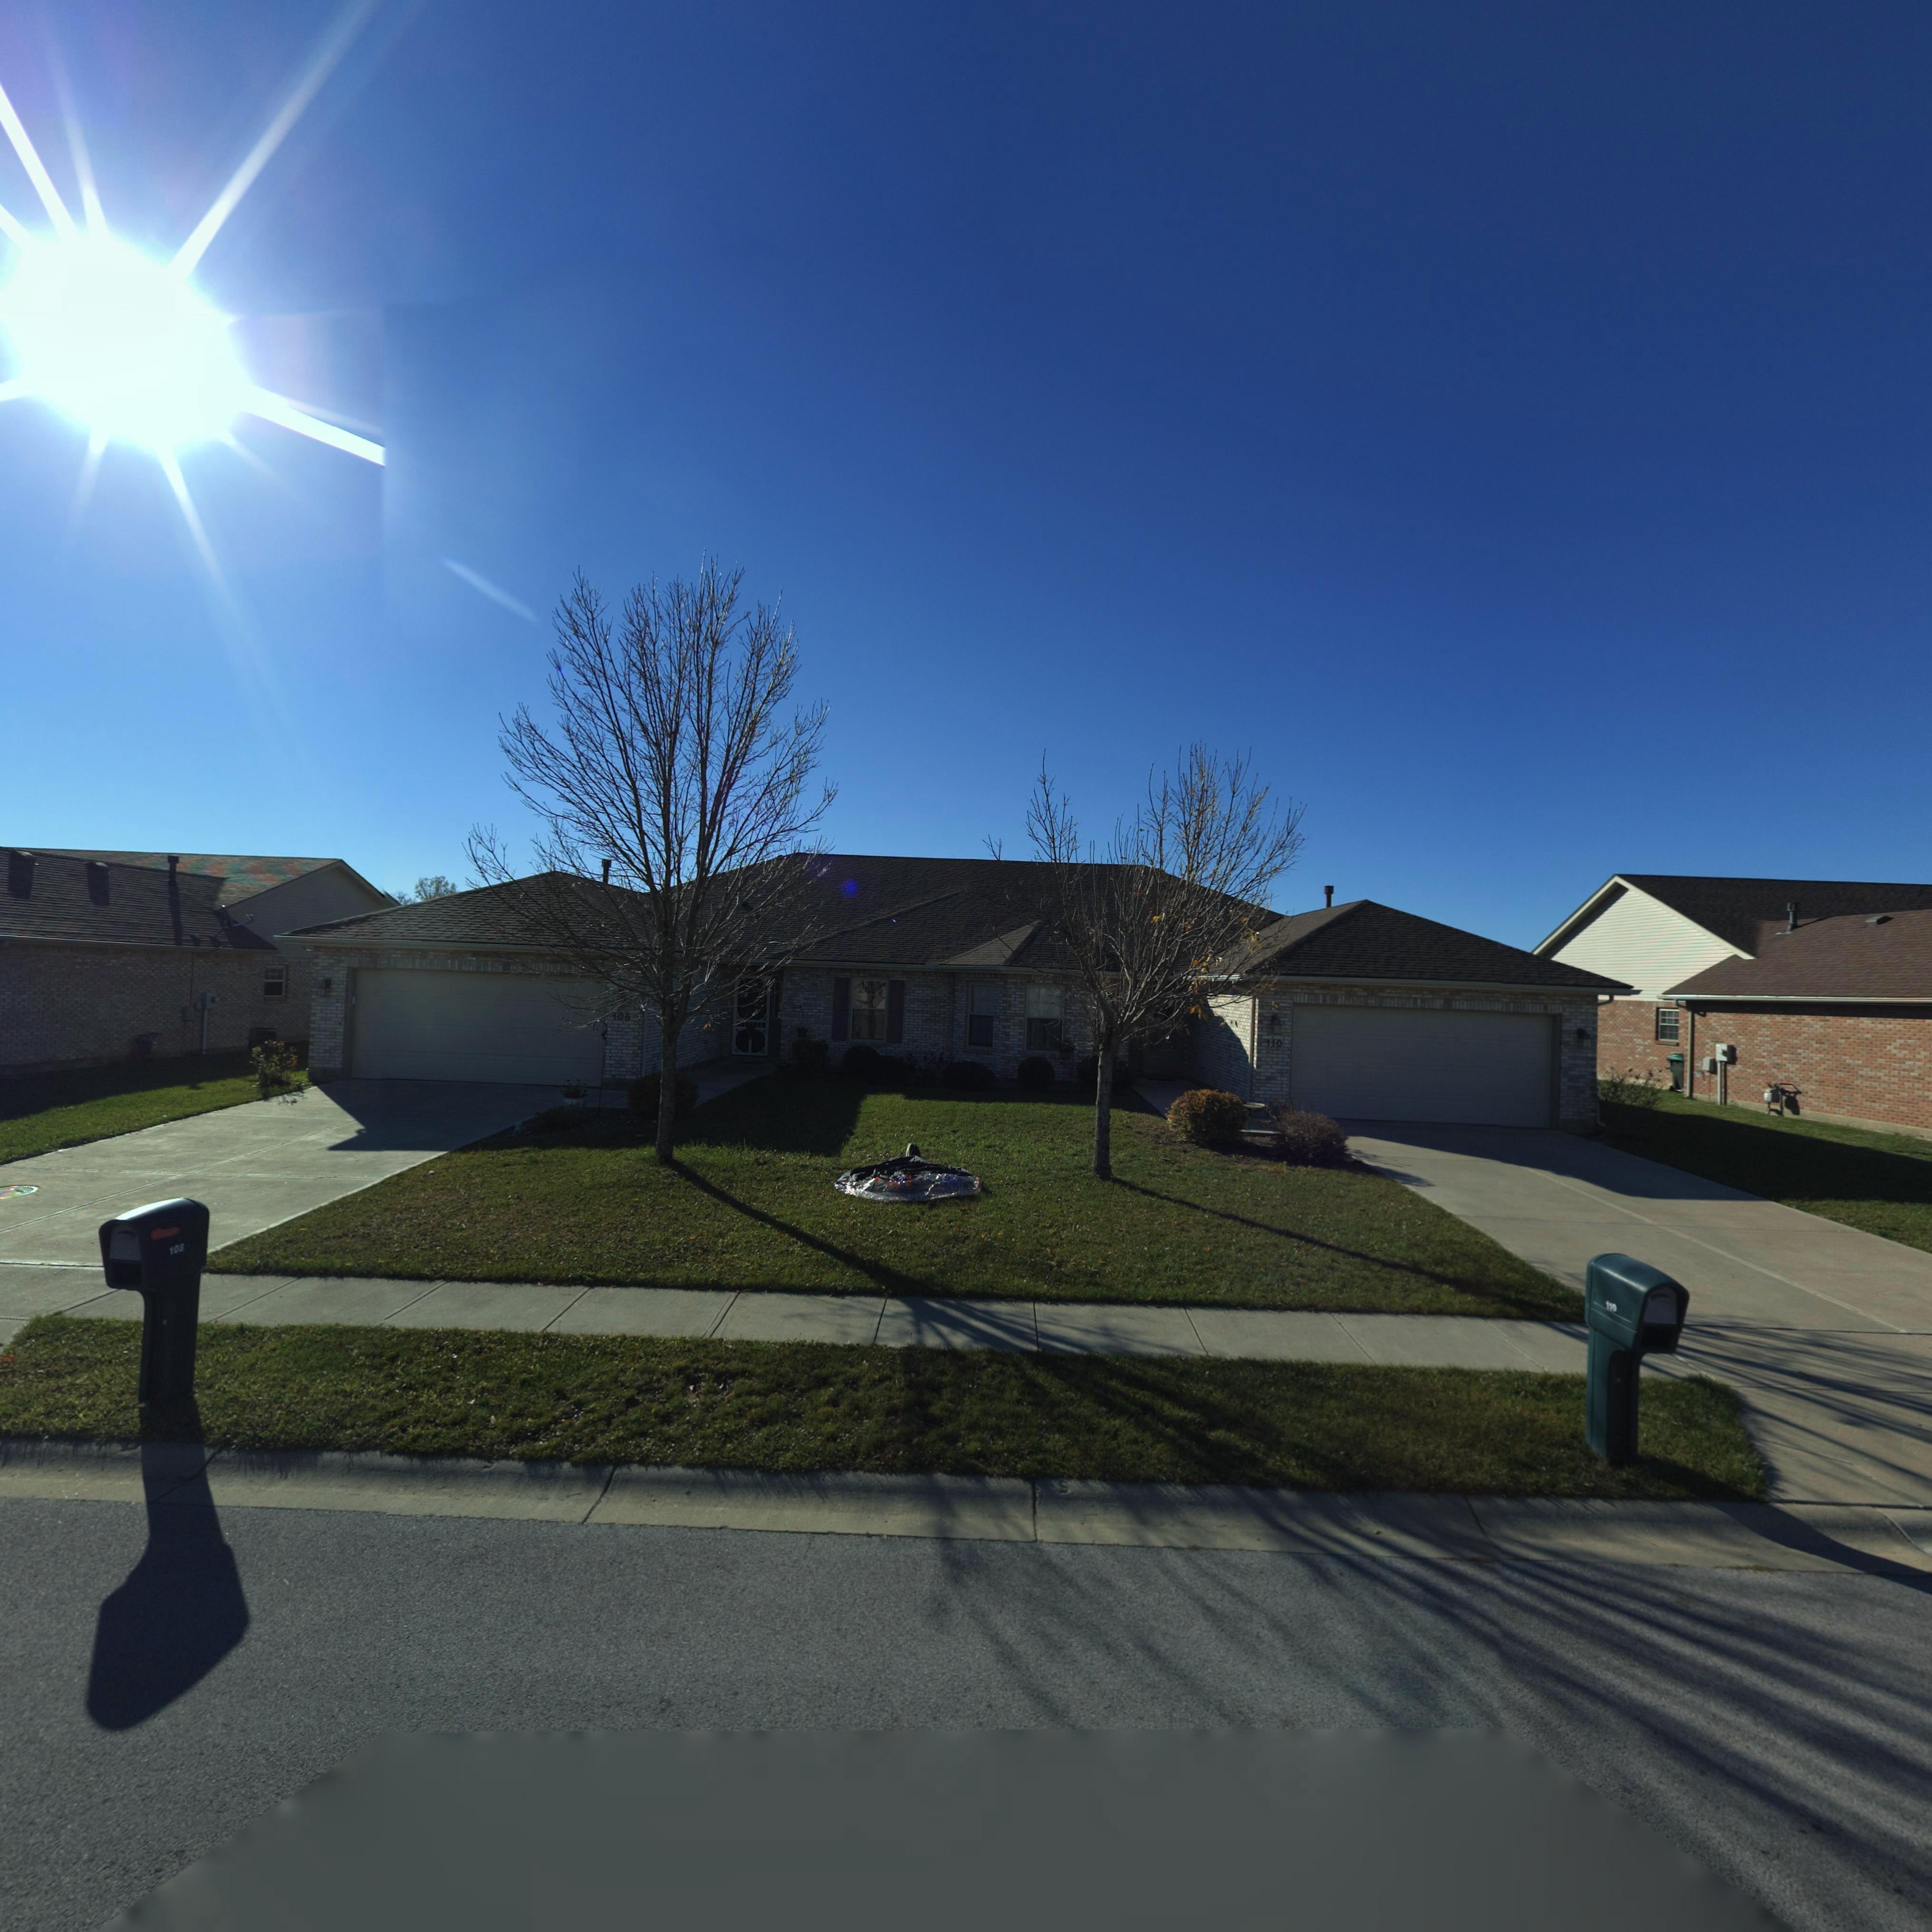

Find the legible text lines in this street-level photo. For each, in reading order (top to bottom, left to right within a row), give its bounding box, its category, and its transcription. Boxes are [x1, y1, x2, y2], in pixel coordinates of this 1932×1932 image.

[611, 1011, 631, 1022] StreetNumber: 108
[1265, 1038, 1283, 1048] StreetNumber: 110
[168, 1242, 185, 1256] StreetNumber: 108